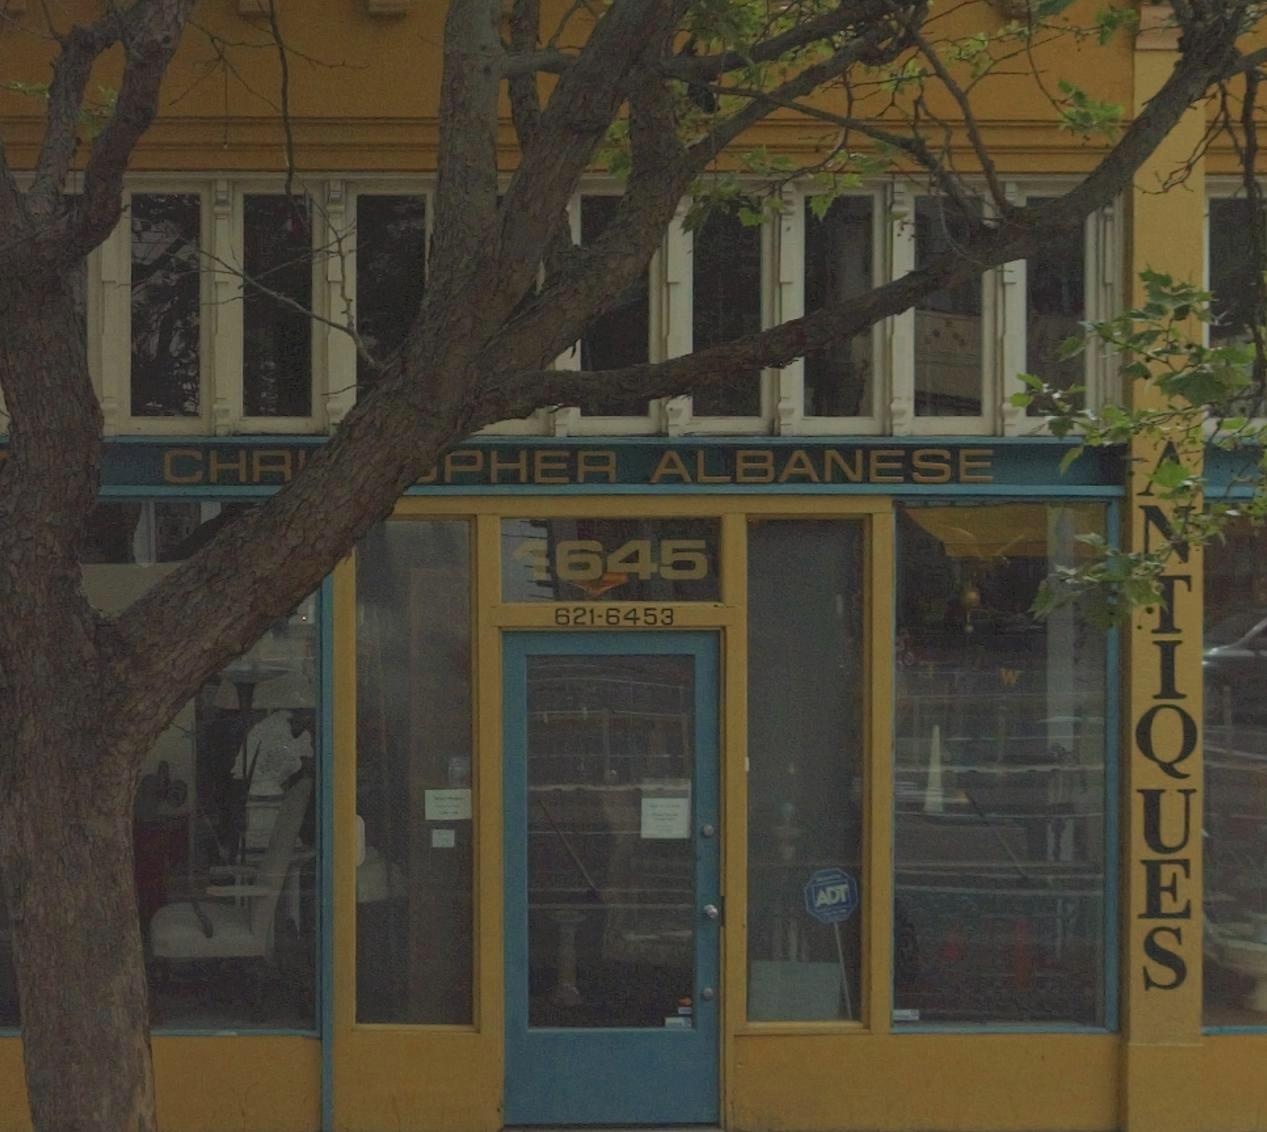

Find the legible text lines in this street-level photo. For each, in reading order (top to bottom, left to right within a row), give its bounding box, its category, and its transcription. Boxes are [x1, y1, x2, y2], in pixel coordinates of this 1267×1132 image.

[160, 445, 296, 486] BusinessName: CHR
[441, 444, 997, 488] BusinessName: PHER ALBANESE
[511, 535, 710, 582] StreetNumber: 1645
[552, 604, 677, 628] None: 621-6453
[1129, 634, 1205, 997] None: IQUES
[811, 879, 855, 912] None: ADT